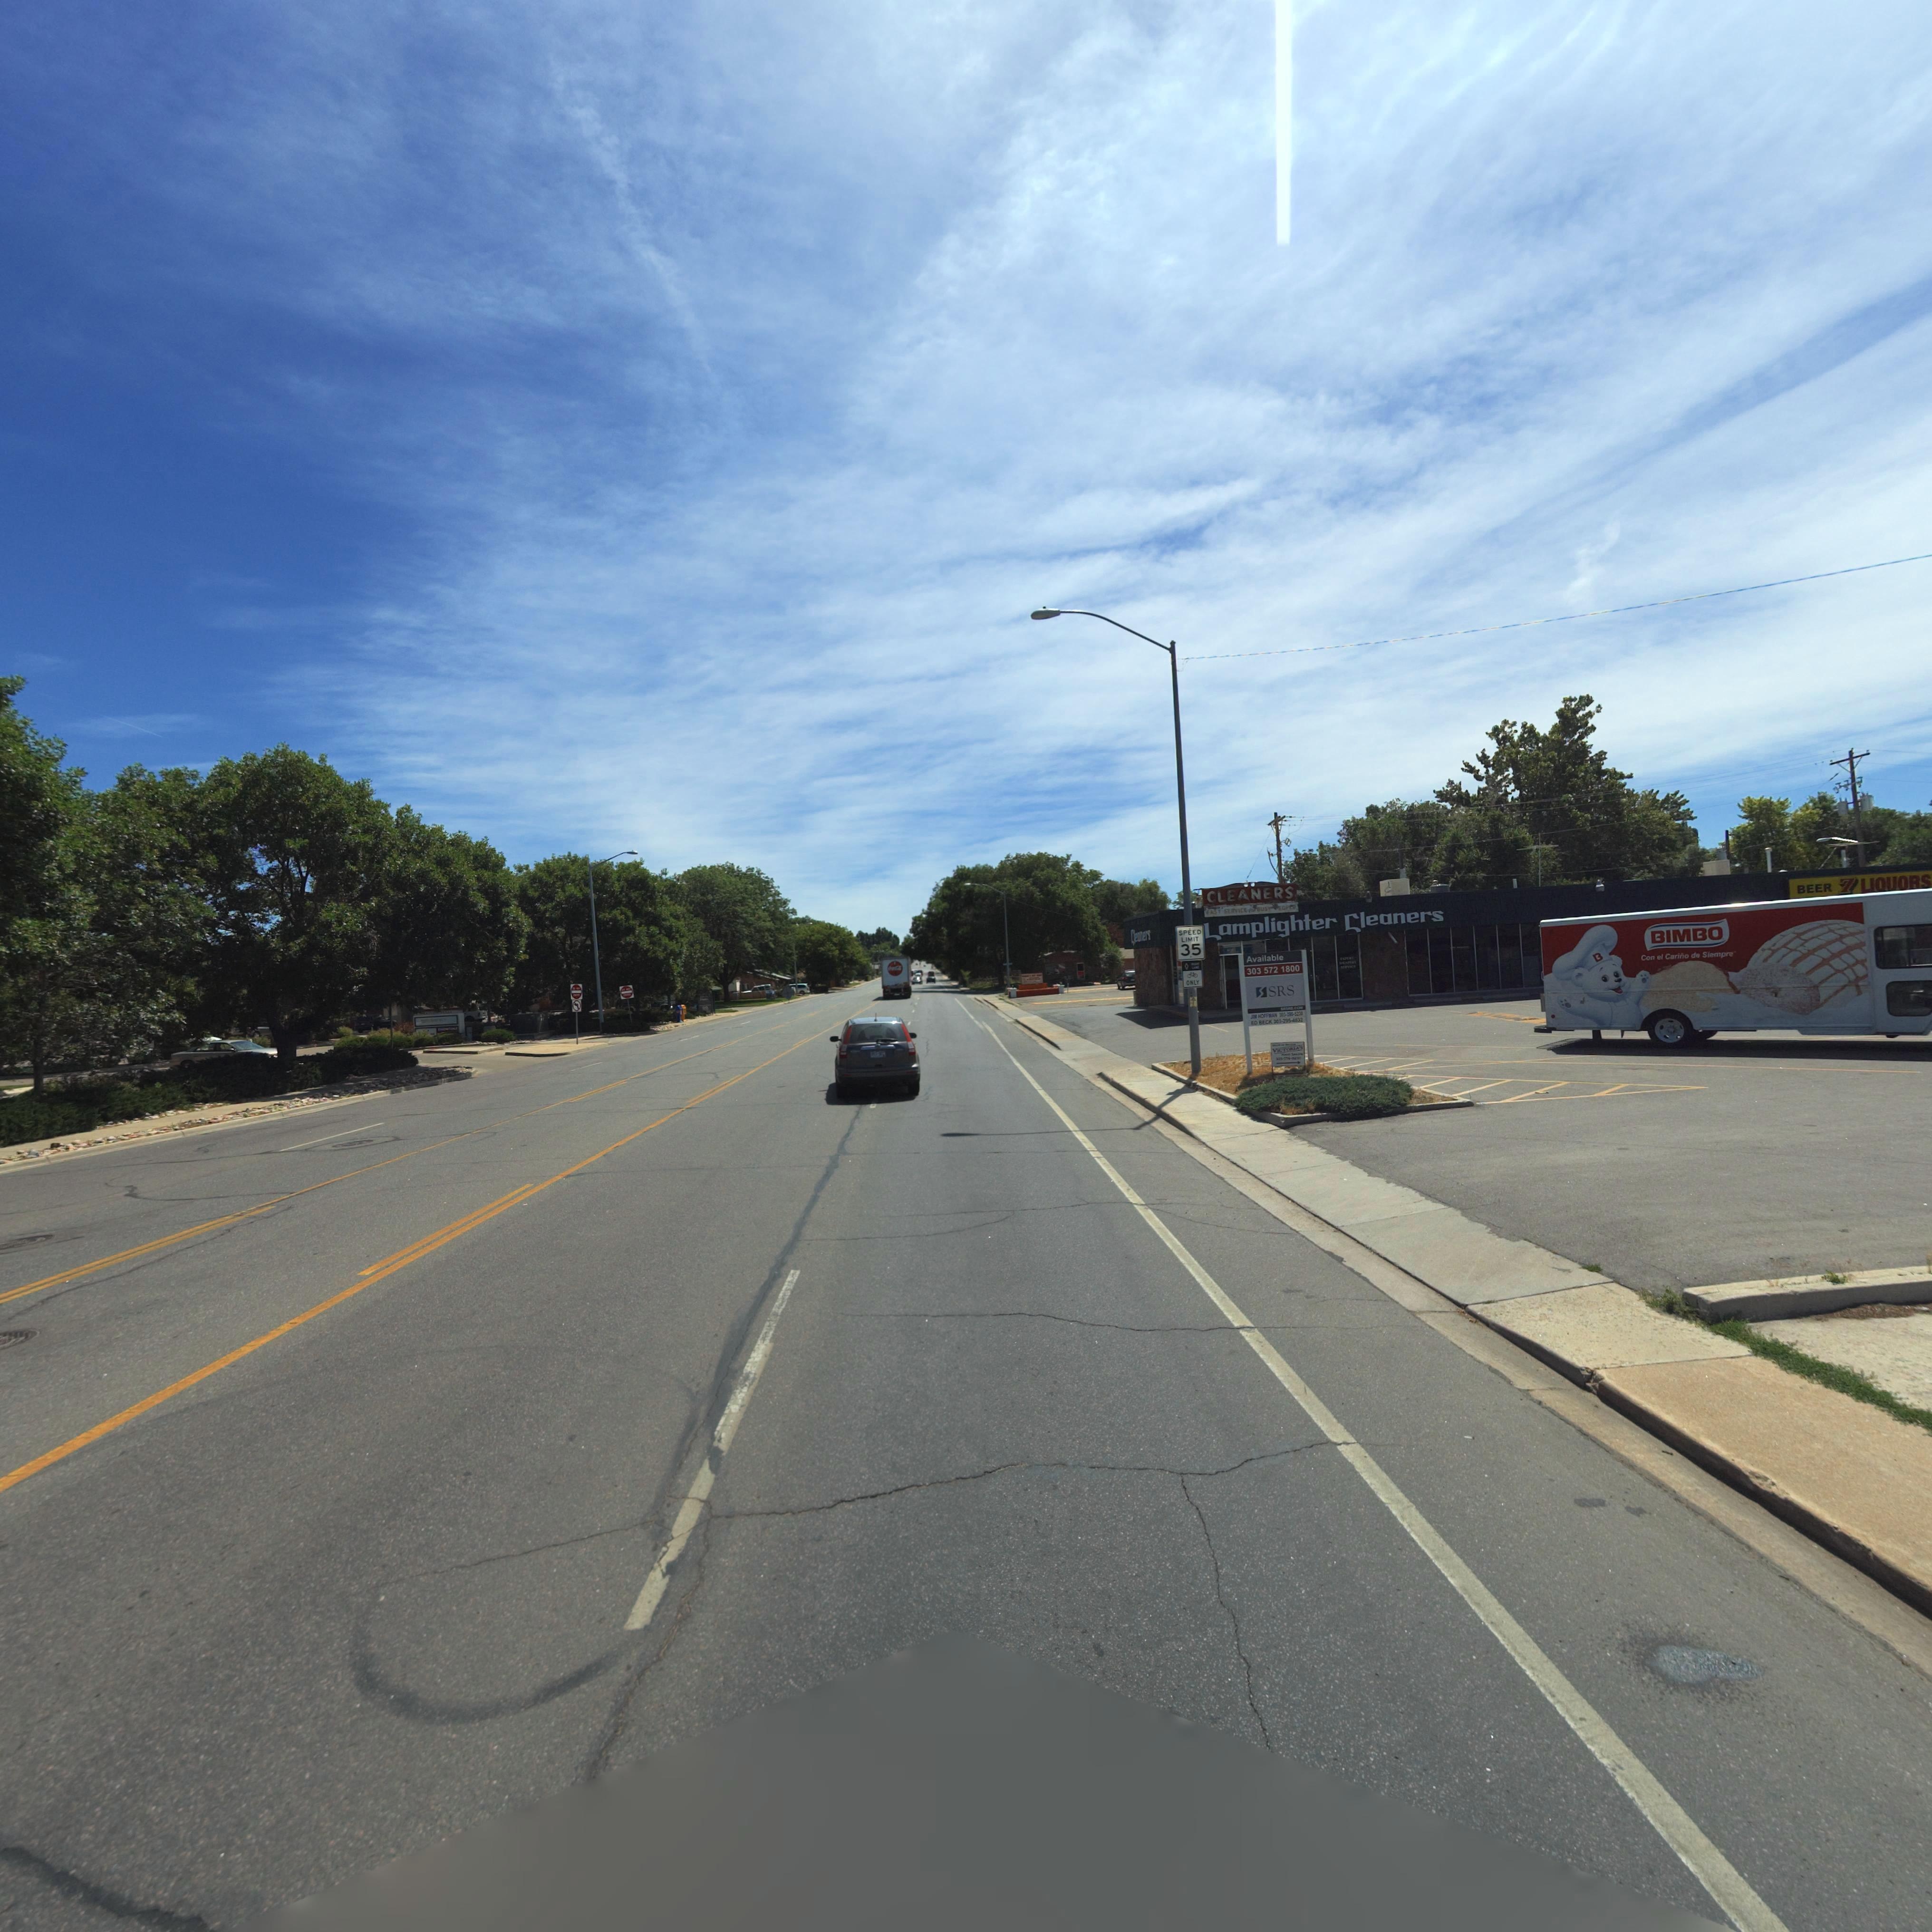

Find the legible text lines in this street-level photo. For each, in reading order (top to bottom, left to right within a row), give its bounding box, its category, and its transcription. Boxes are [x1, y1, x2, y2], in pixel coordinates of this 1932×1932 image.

[1838, 873, 1931, 895] BusinessName: 7 LI*UORS
[1203, 910, 1444, 941] BusinessName: Lamplighter Cleaners
[1272, 1045, 1303, 1053] BusinessName: VICTORIA'S
[1281, 1052, 1304, 1056] BusinessName: Hair Salon